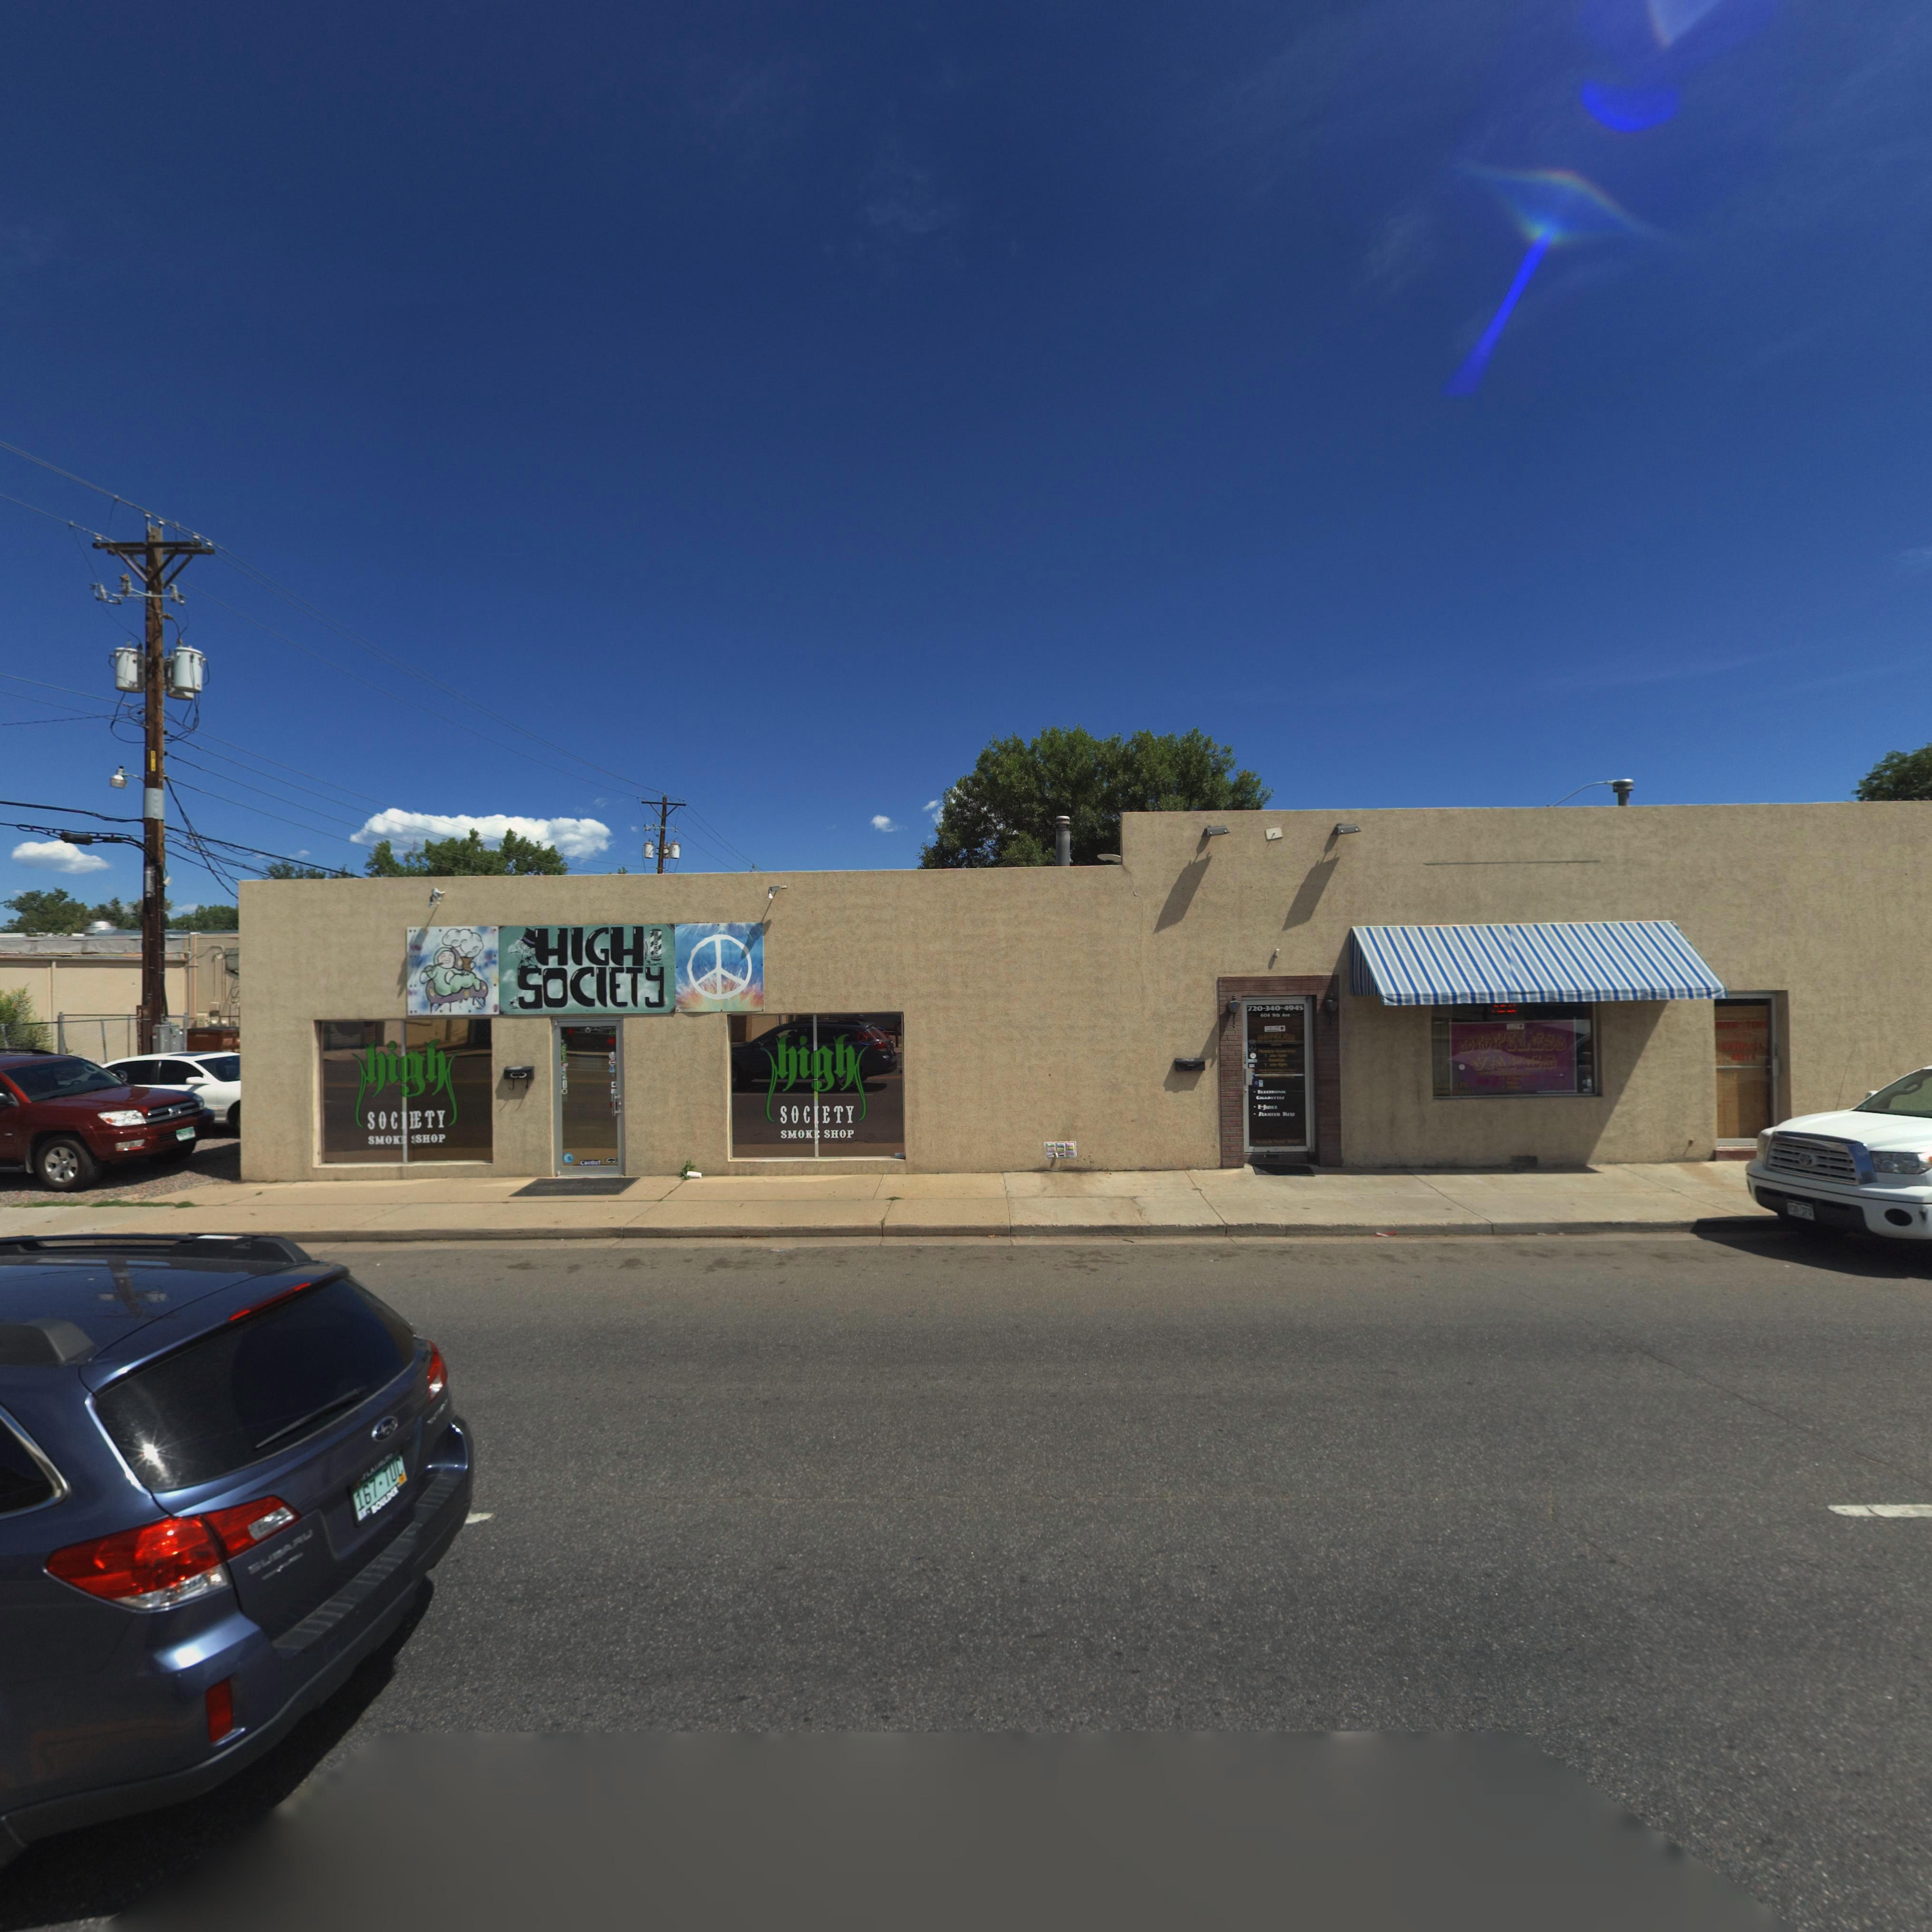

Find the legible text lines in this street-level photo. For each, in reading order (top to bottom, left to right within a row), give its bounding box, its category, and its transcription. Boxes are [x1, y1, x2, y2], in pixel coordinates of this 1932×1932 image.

[533, 925, 645, 967] BusinessName: HIGH
[516, 965, 666, 1010] BusinessName: SOCIETy
[1260, 1013, 1270, 1017] StreetNumber: 60*
[1271, 1013, 1291, 1017] BusinessName: 9** **e
[1457, 1027, 1569, 1054] BusinessName: DOP*LES*
[364, 1038, 447, 1098] BusinessName: hi*h
[775, 1033, 856, 1093] BusinessName: high
[1466, 1053, 1558, 1071] BusinessName: VAPES
[366, 1109, 446, 1130] BusinessName: SCO**ETY
[779, 1104, 854, 1124] BusinessName: SOC*ETY
[367, 1133, 446, 1145] BusinessName: SMOK* *SHOP
[780, 1129, 855, 1139] BusinessName: SMOK* SHOP